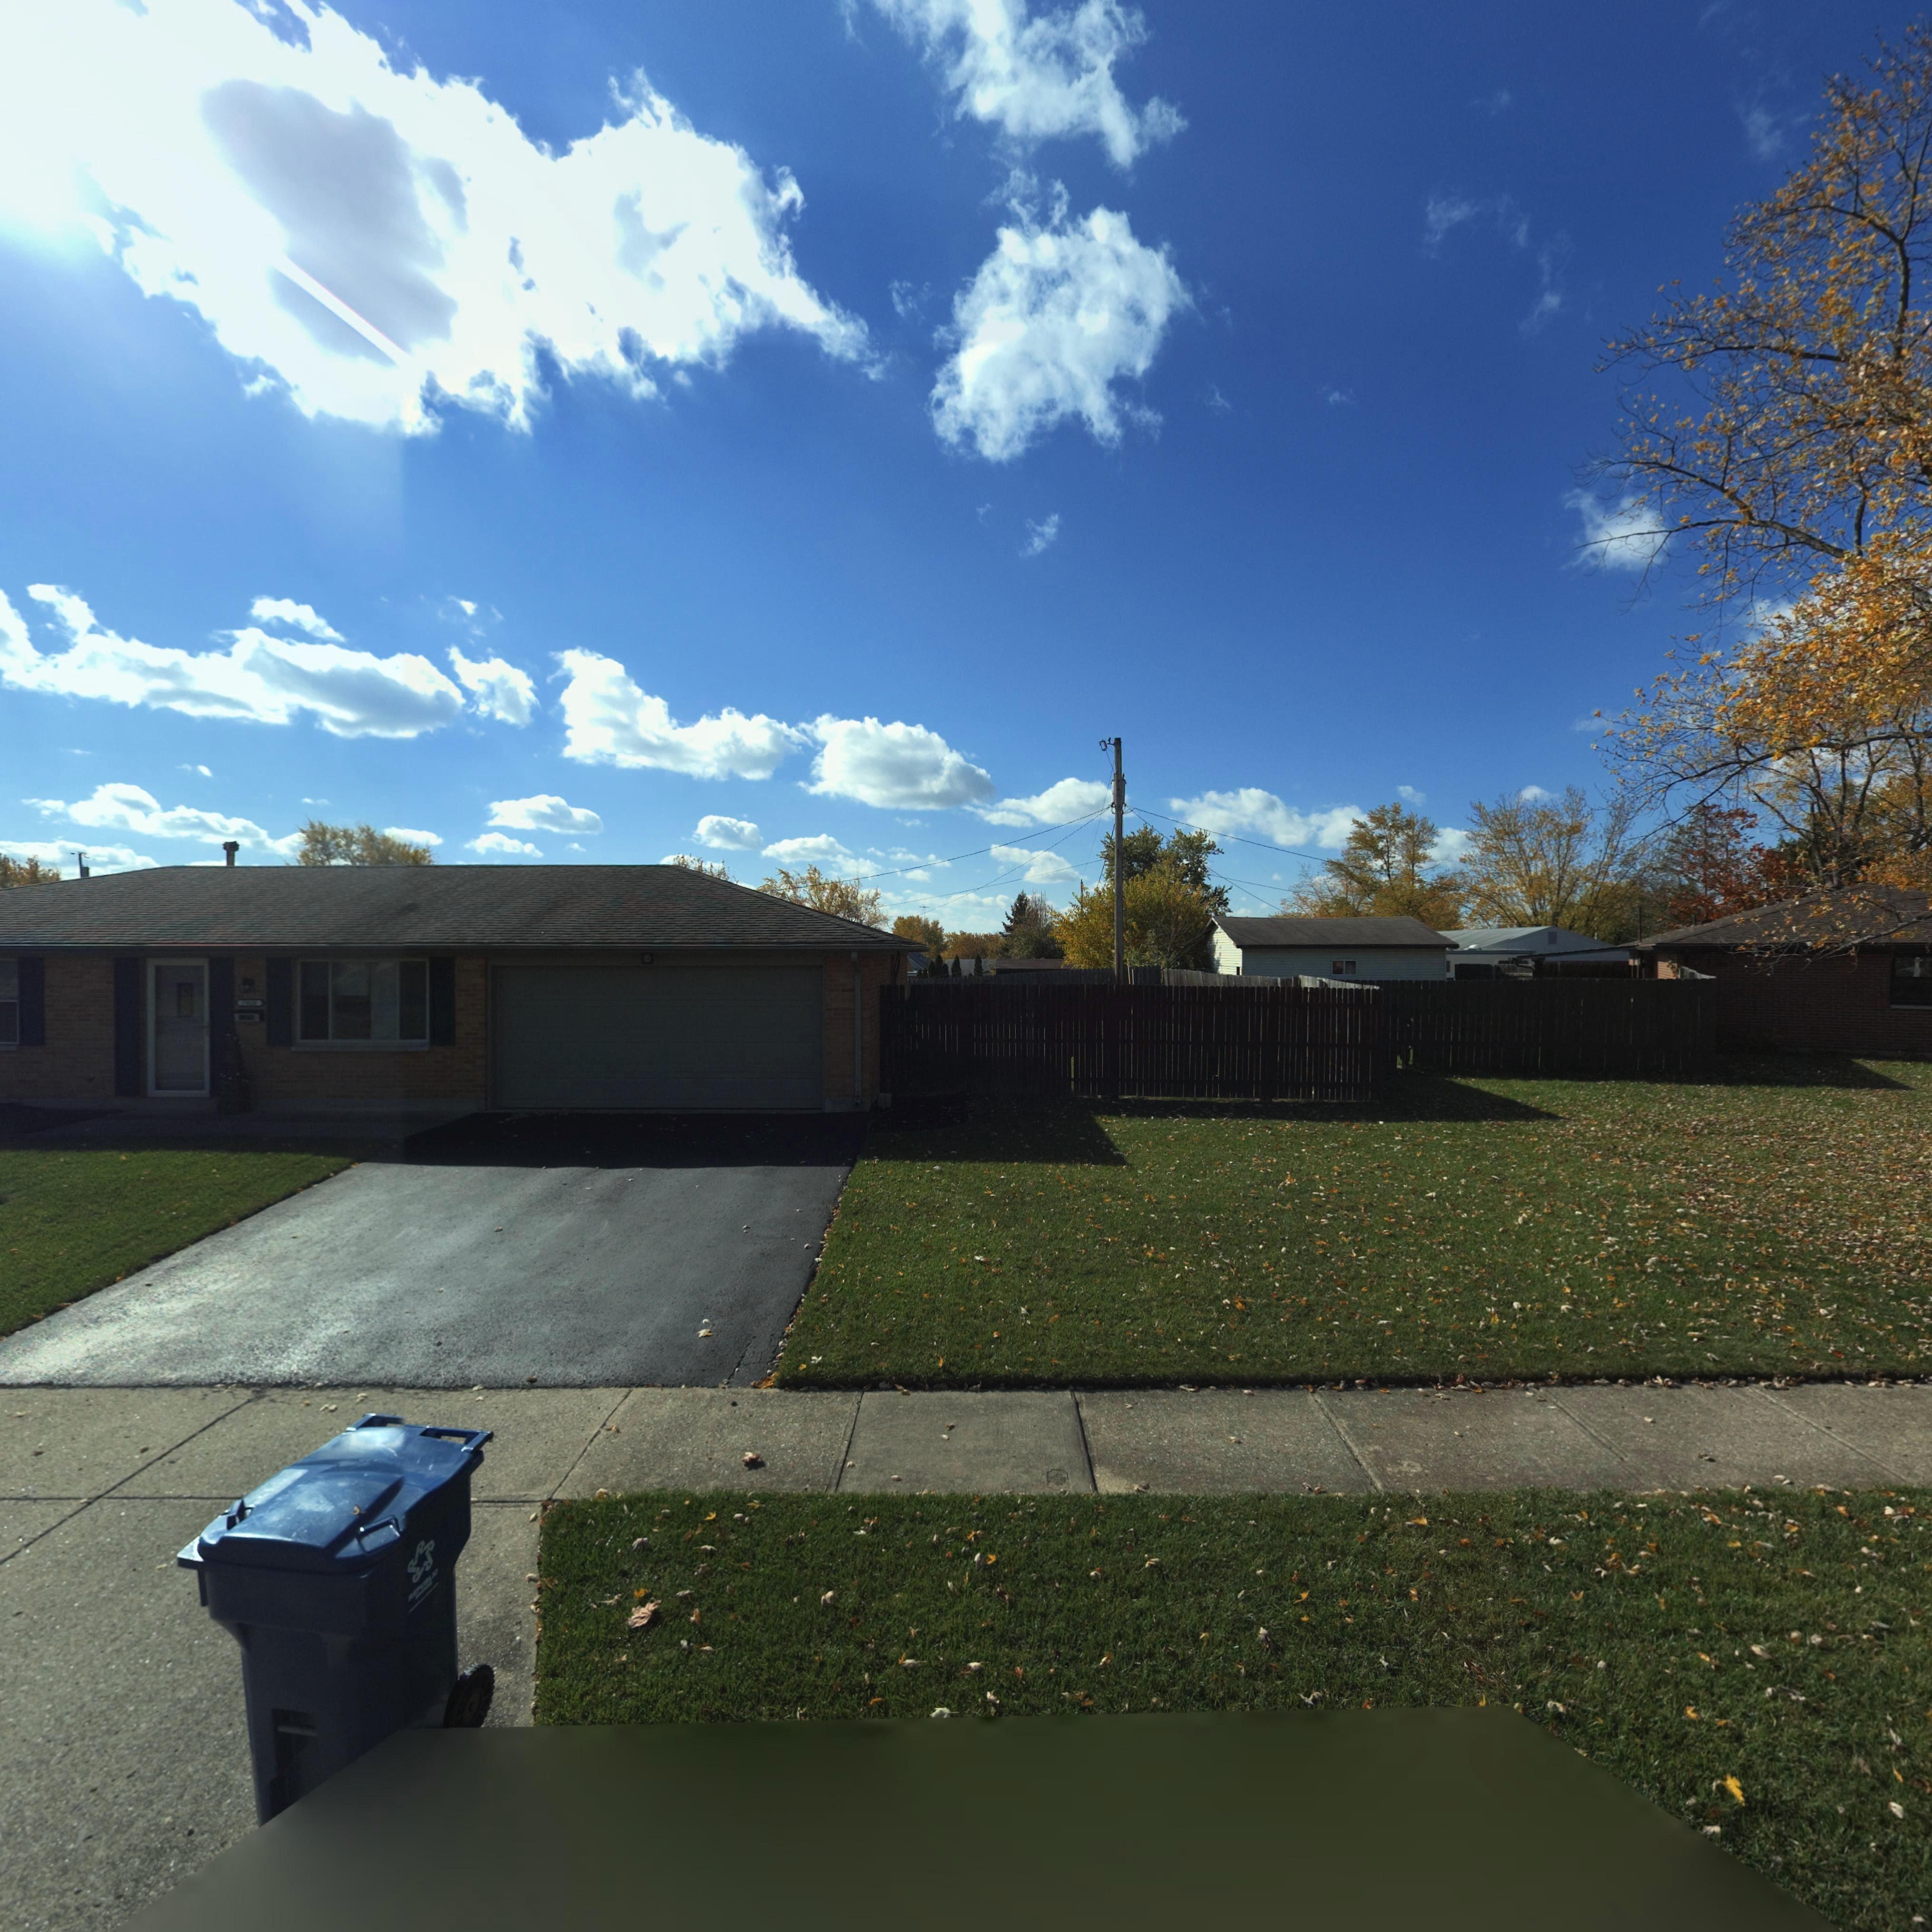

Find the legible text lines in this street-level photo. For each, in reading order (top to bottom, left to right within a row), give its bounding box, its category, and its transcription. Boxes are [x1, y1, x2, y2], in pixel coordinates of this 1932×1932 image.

[241, 1000, 257, 1006] StreetNumber: 782*